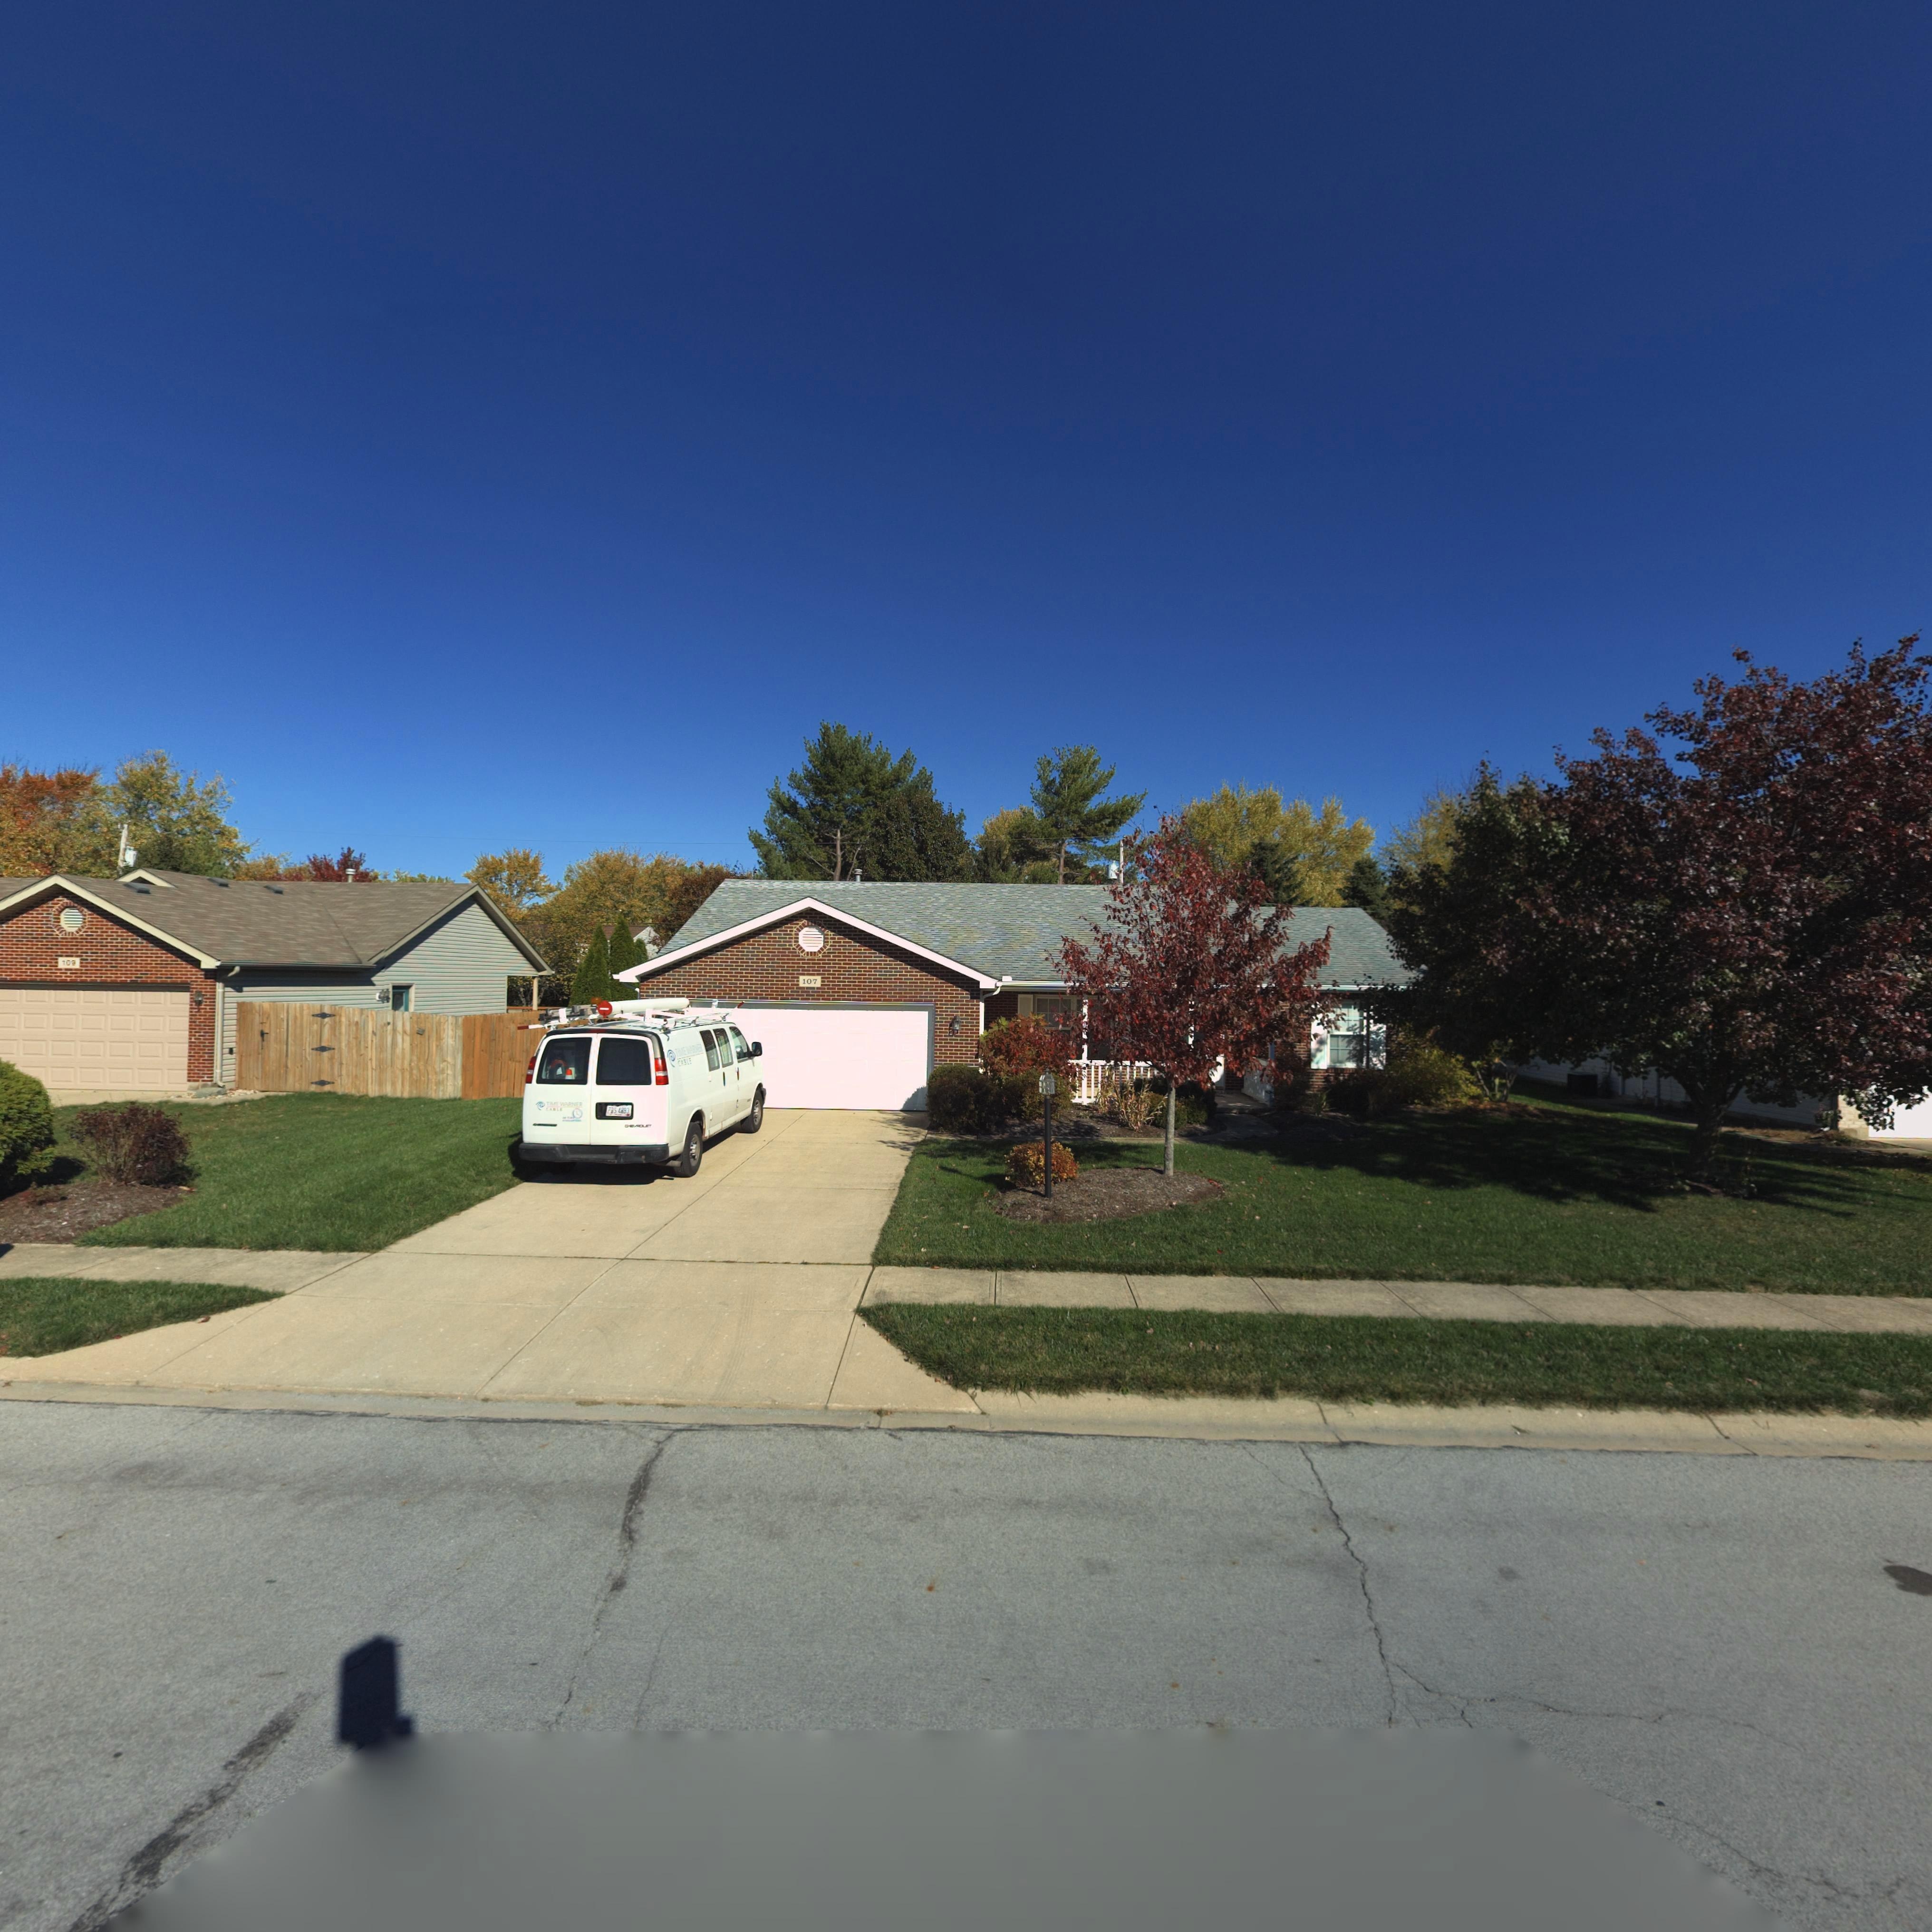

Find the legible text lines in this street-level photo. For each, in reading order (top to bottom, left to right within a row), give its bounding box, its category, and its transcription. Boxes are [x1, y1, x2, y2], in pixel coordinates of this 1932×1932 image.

[61, 959, 76, 966] StreetNumber: 109
[802, 978, 818, 985] StreetNumber: 107
[545, 1101, 583, 1107] None: TIME WARNER